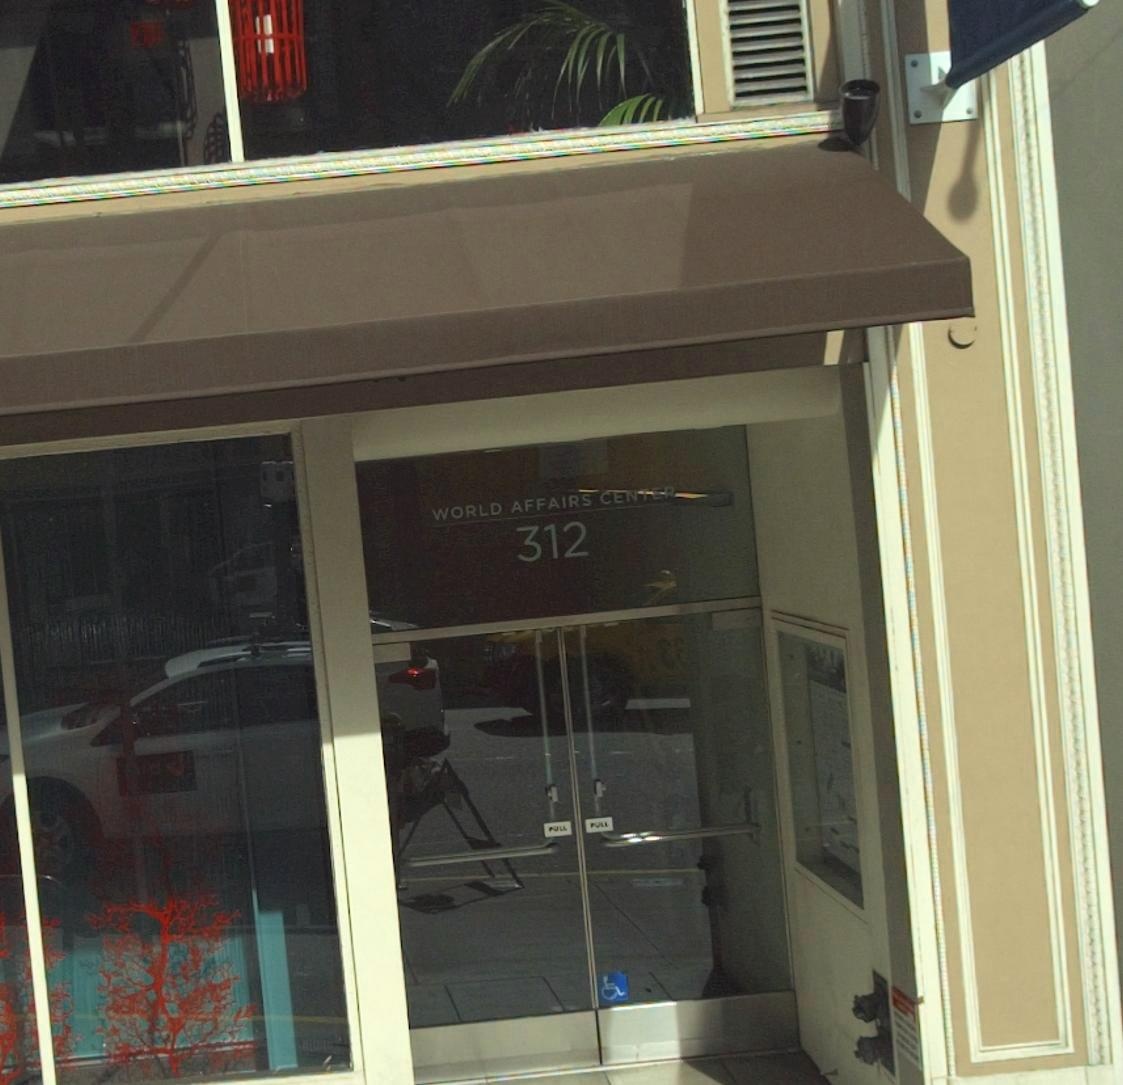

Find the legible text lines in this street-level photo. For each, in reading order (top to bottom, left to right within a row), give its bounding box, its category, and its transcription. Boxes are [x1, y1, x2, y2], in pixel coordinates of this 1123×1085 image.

[425, 481, 680, 524] BusinessName: WORLD AFFAIRS CENTER
[511, 518, 596, 569] StreetNumber: 312
[586, 818, 613, 834] None: PULL